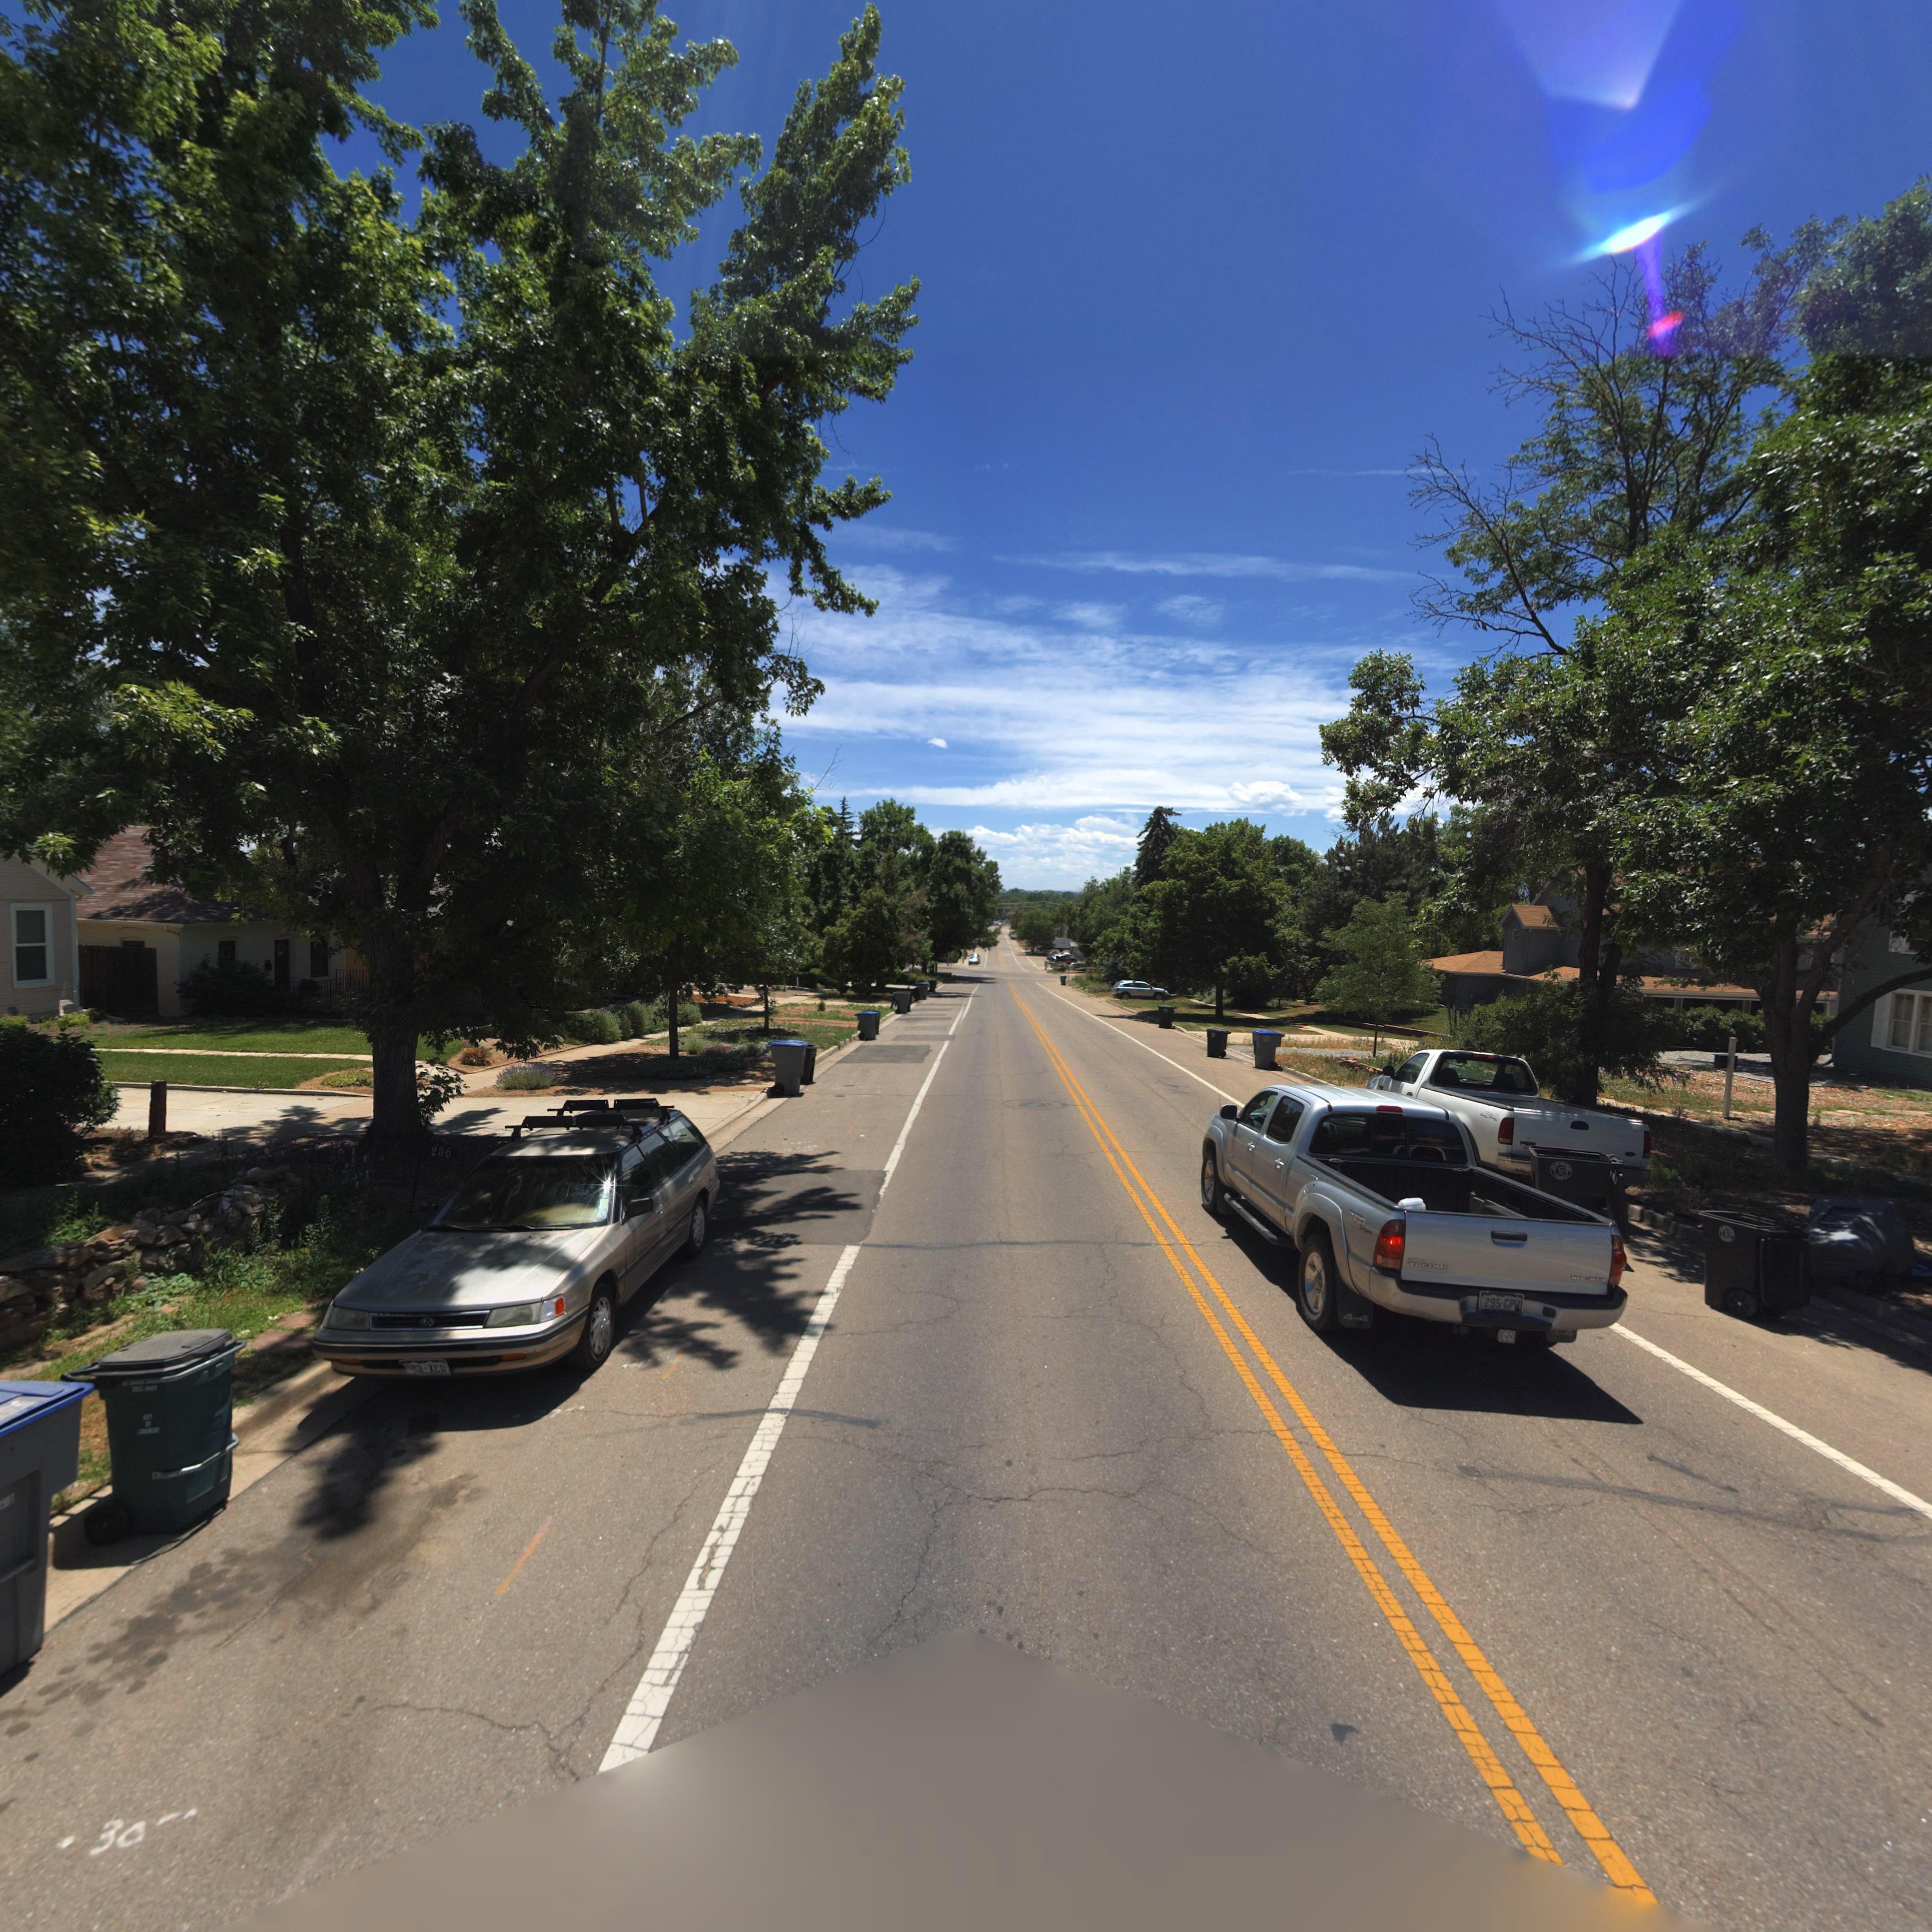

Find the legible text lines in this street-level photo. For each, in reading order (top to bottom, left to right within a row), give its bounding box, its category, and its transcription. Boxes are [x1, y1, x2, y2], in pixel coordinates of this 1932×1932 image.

[430, 1145, 451, 1158] StreetNumber: 236